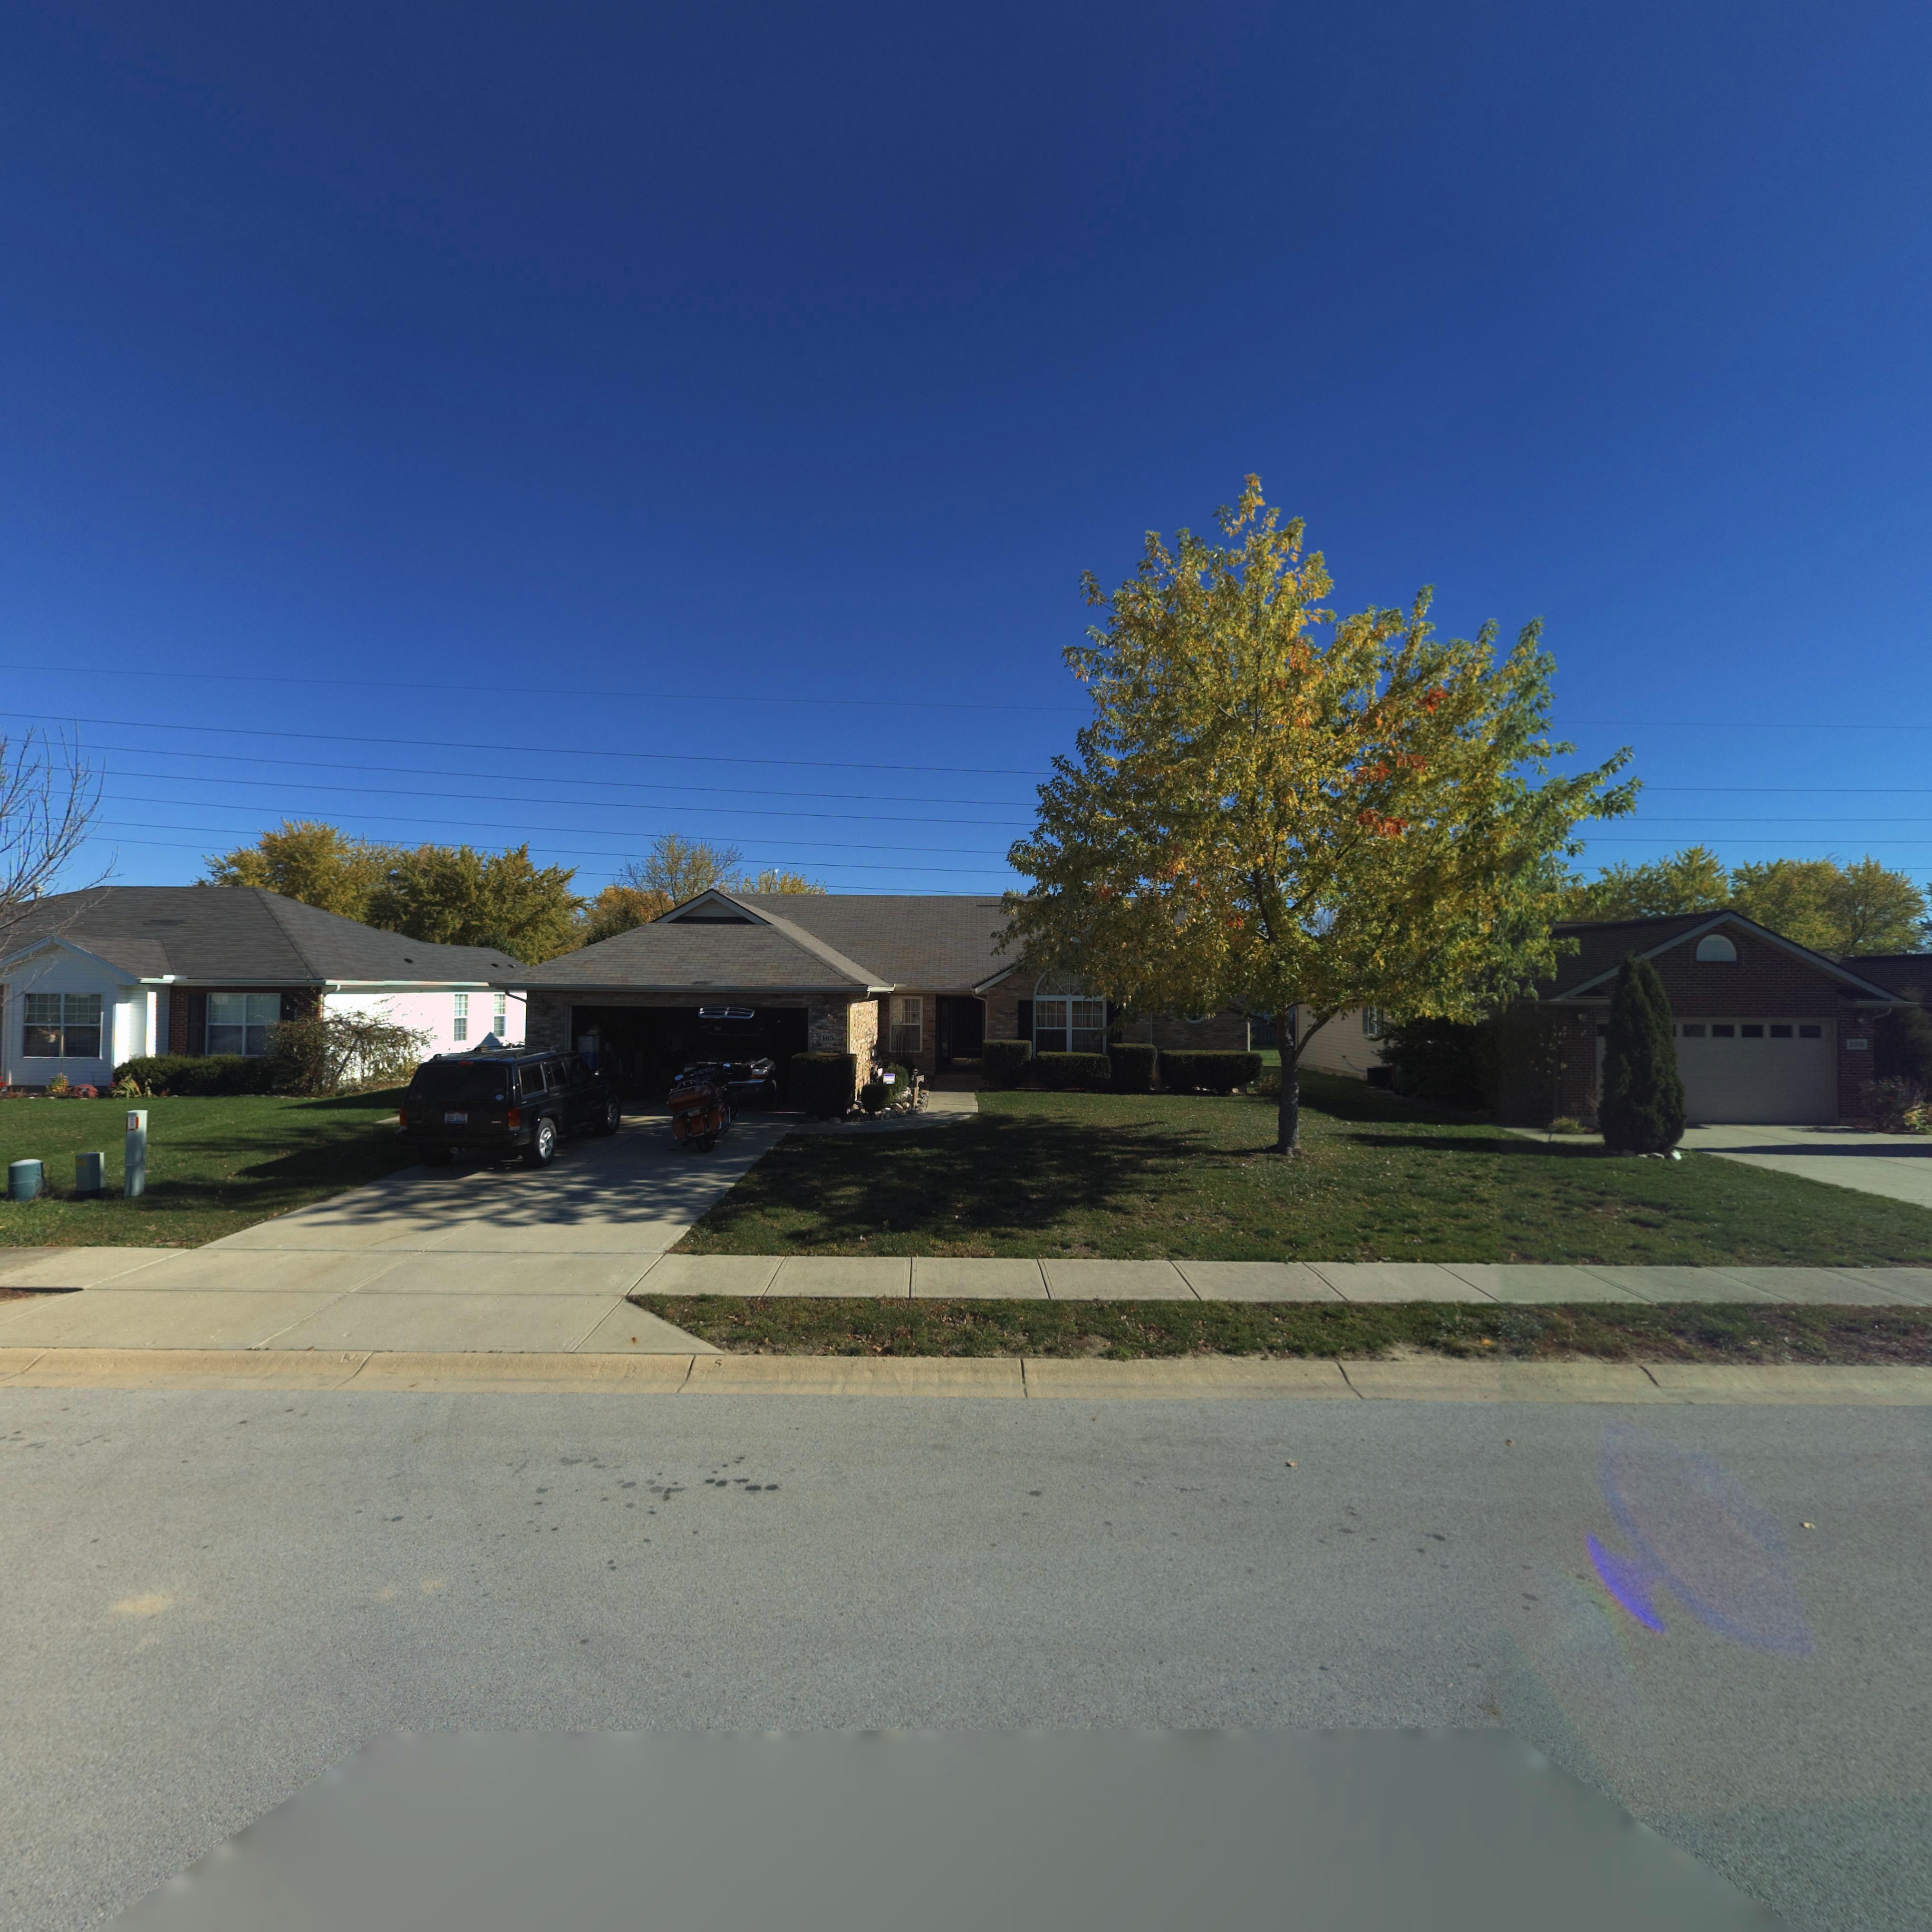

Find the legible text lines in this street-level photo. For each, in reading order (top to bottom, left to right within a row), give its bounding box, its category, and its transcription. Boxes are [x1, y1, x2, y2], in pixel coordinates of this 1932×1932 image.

[822, 1034, 834, 1042] StreetNumber: 105
[1848, 1041, 1864, 1048] StreetNumber: 10*
[444, 1111, 469, 1125] None: ****5275